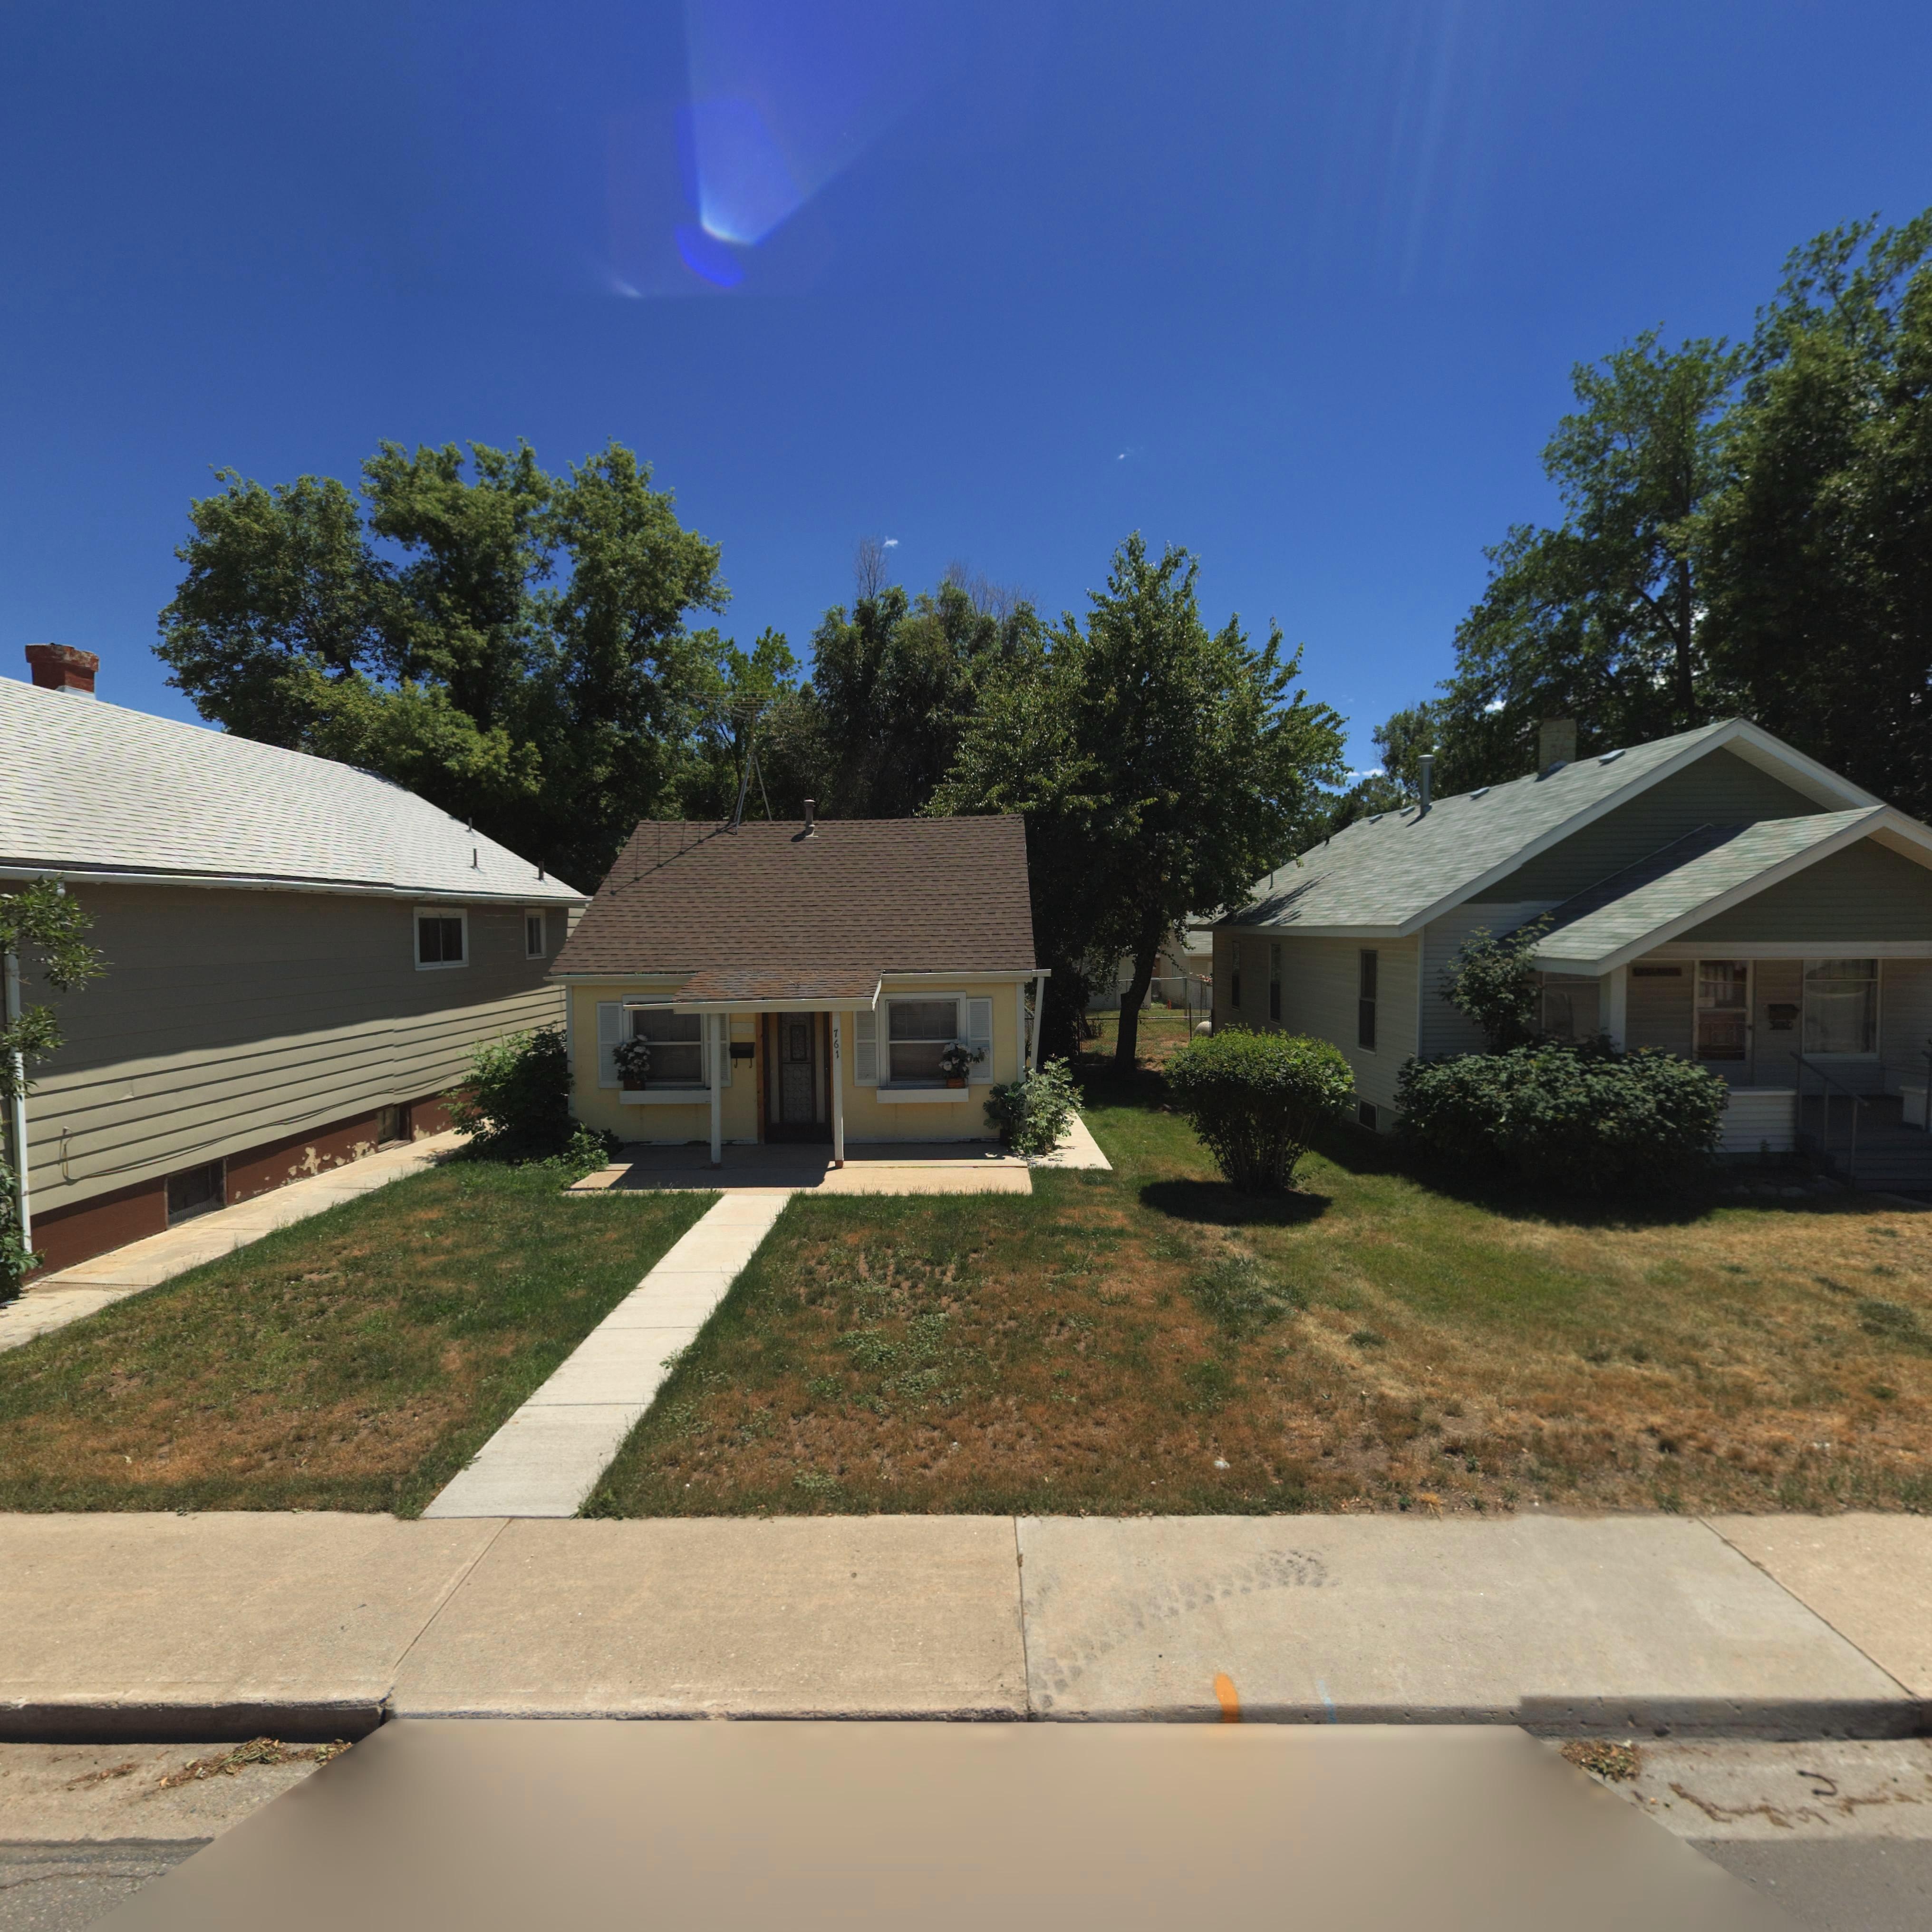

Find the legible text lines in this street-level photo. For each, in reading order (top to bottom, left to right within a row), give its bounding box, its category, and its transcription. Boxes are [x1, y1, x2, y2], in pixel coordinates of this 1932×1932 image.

[833, 1029, 840, 1059] StreetNumber: 761